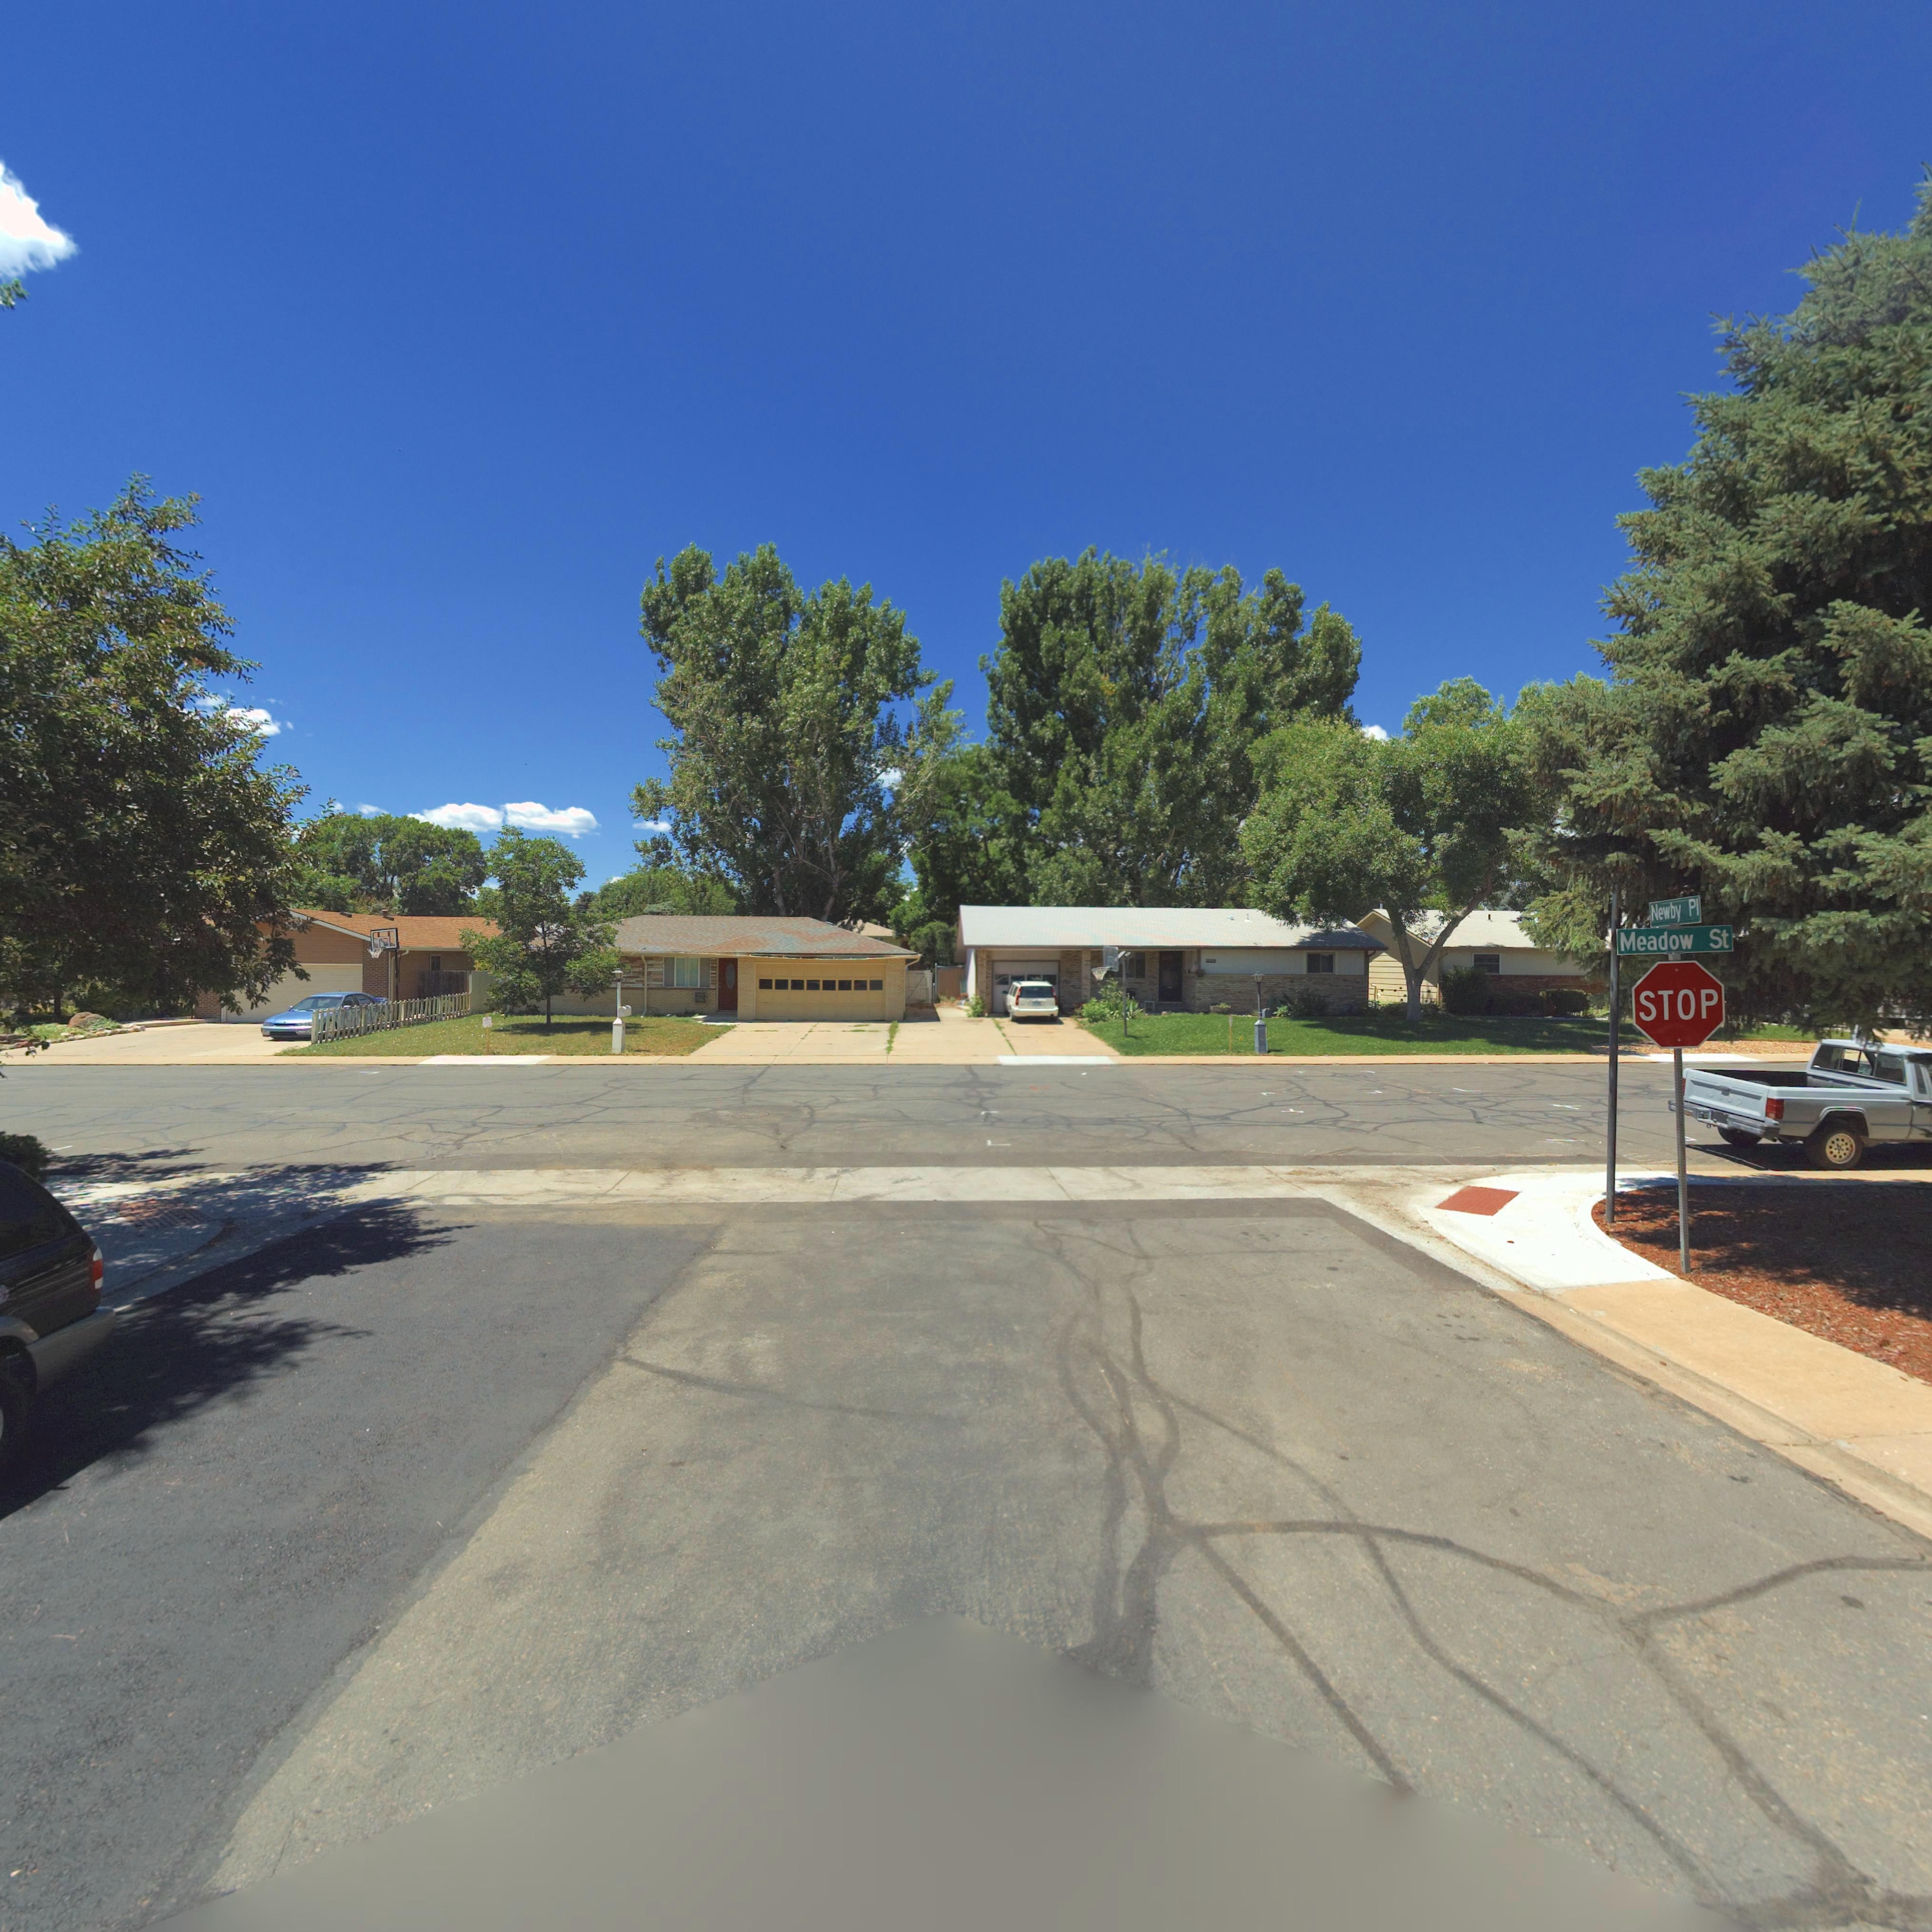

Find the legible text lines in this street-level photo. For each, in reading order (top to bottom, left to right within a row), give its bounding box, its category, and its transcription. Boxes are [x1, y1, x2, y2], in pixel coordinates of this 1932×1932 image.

[1651, 898, 1699, 923] StreetName: Newby Pl
[1620, 928, 1729, 952] StreetName: Meadow St